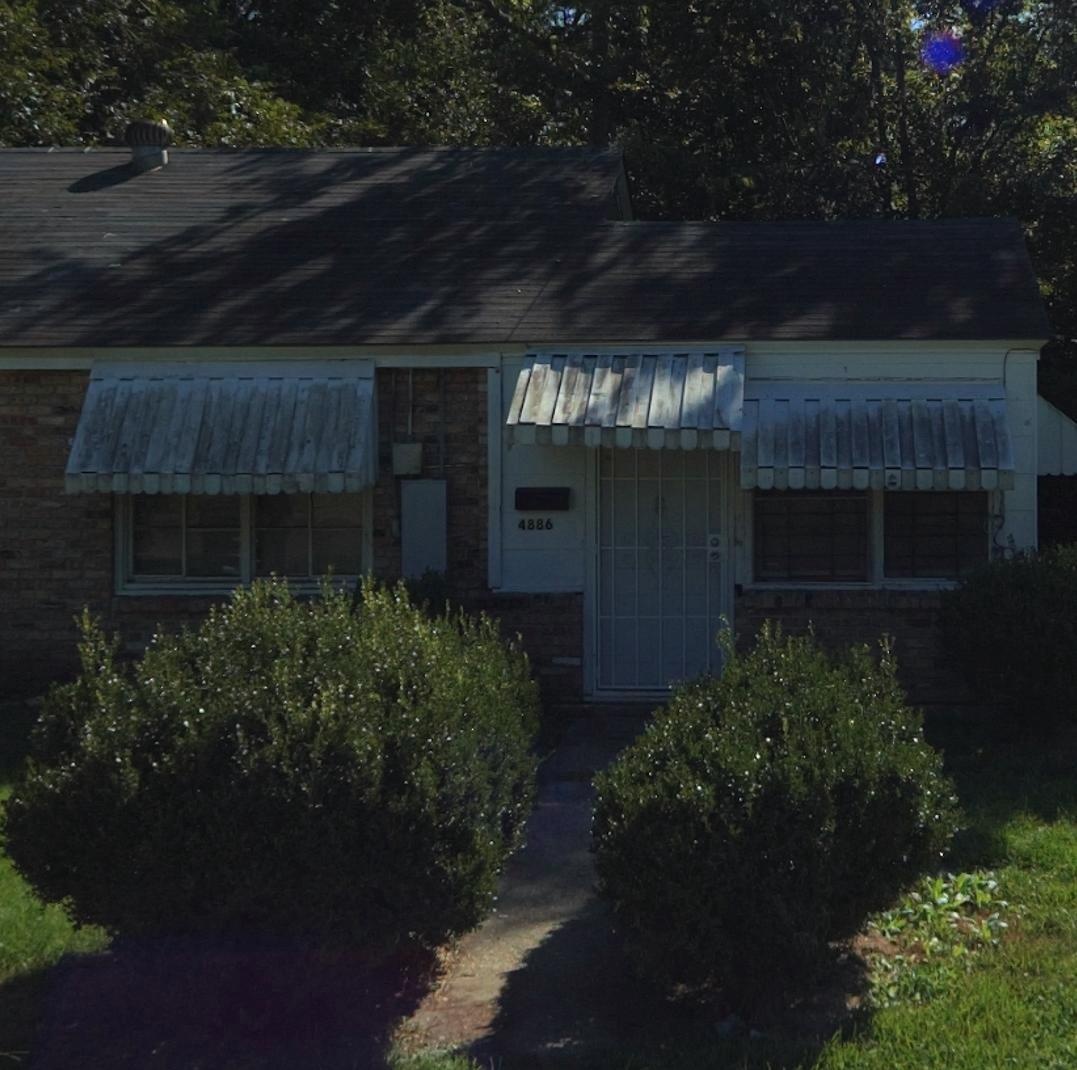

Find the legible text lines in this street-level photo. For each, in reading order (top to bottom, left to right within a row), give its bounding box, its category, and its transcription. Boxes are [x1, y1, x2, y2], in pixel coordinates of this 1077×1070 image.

[516, 517, 554, 531] StreetNumber: 4886